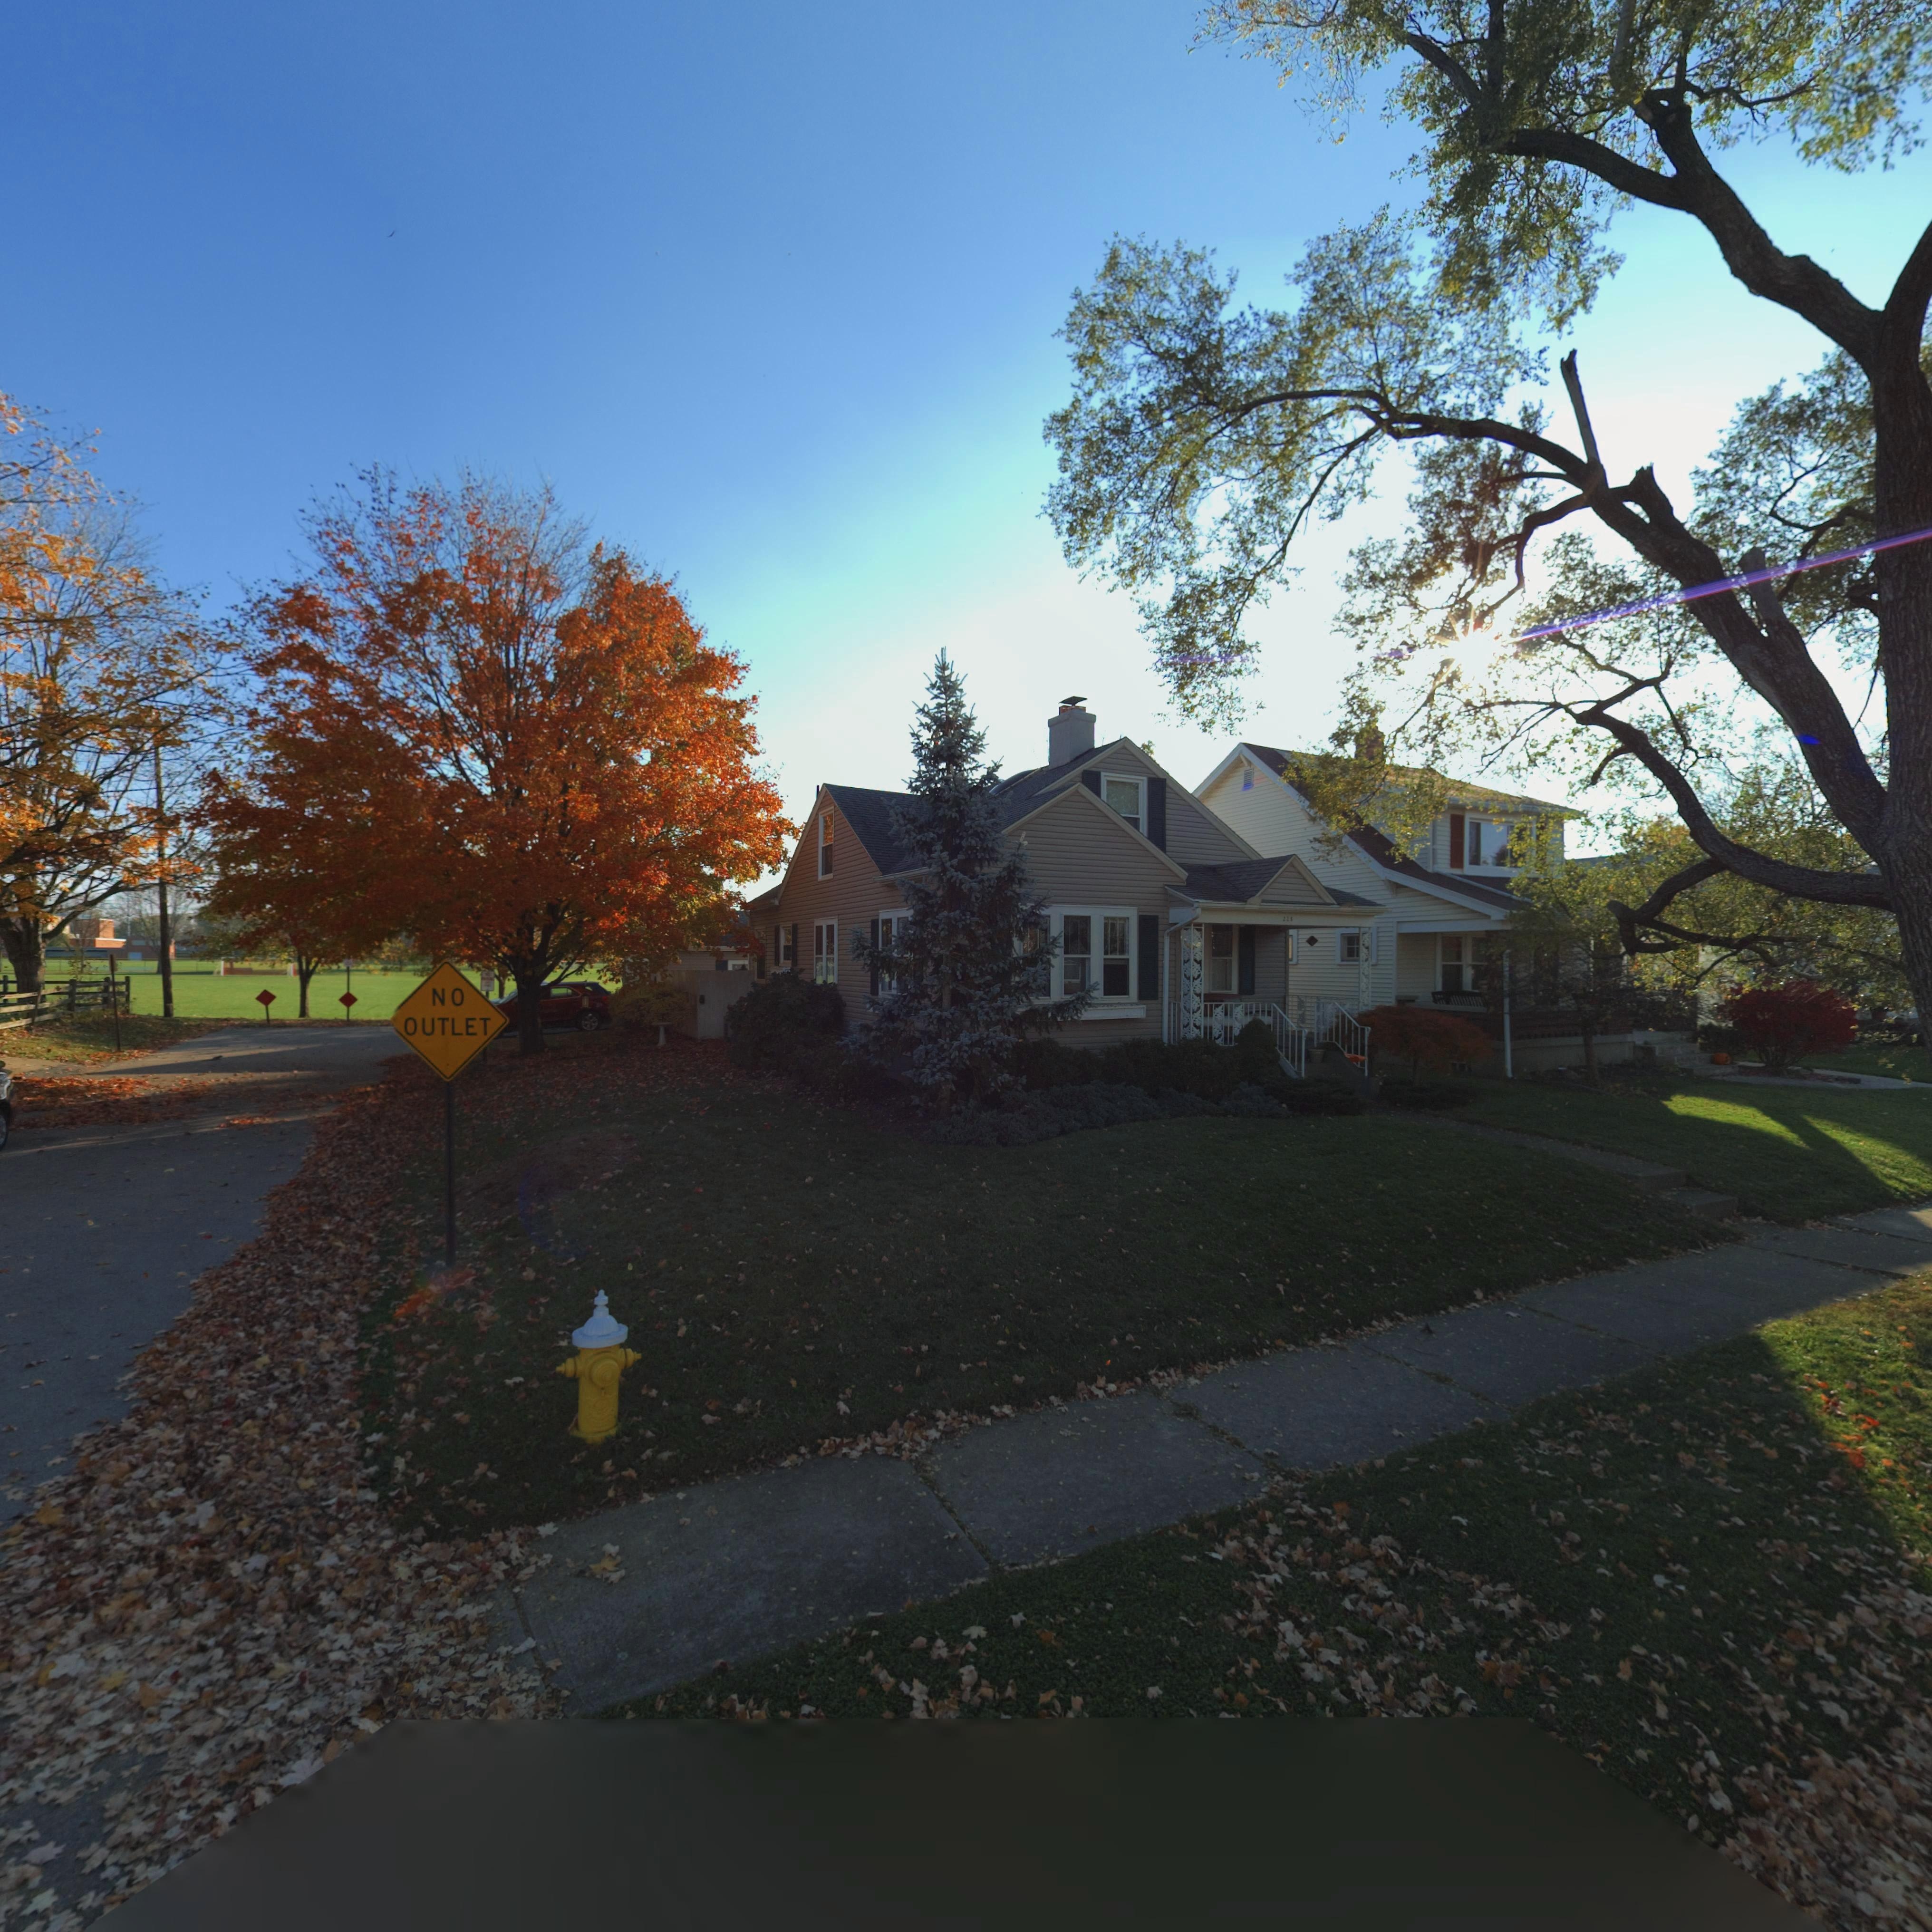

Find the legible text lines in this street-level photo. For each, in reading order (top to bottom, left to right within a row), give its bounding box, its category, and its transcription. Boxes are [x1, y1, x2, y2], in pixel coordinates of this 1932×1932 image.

[1282, 916, 1294, 922] StreetNumber: 22*